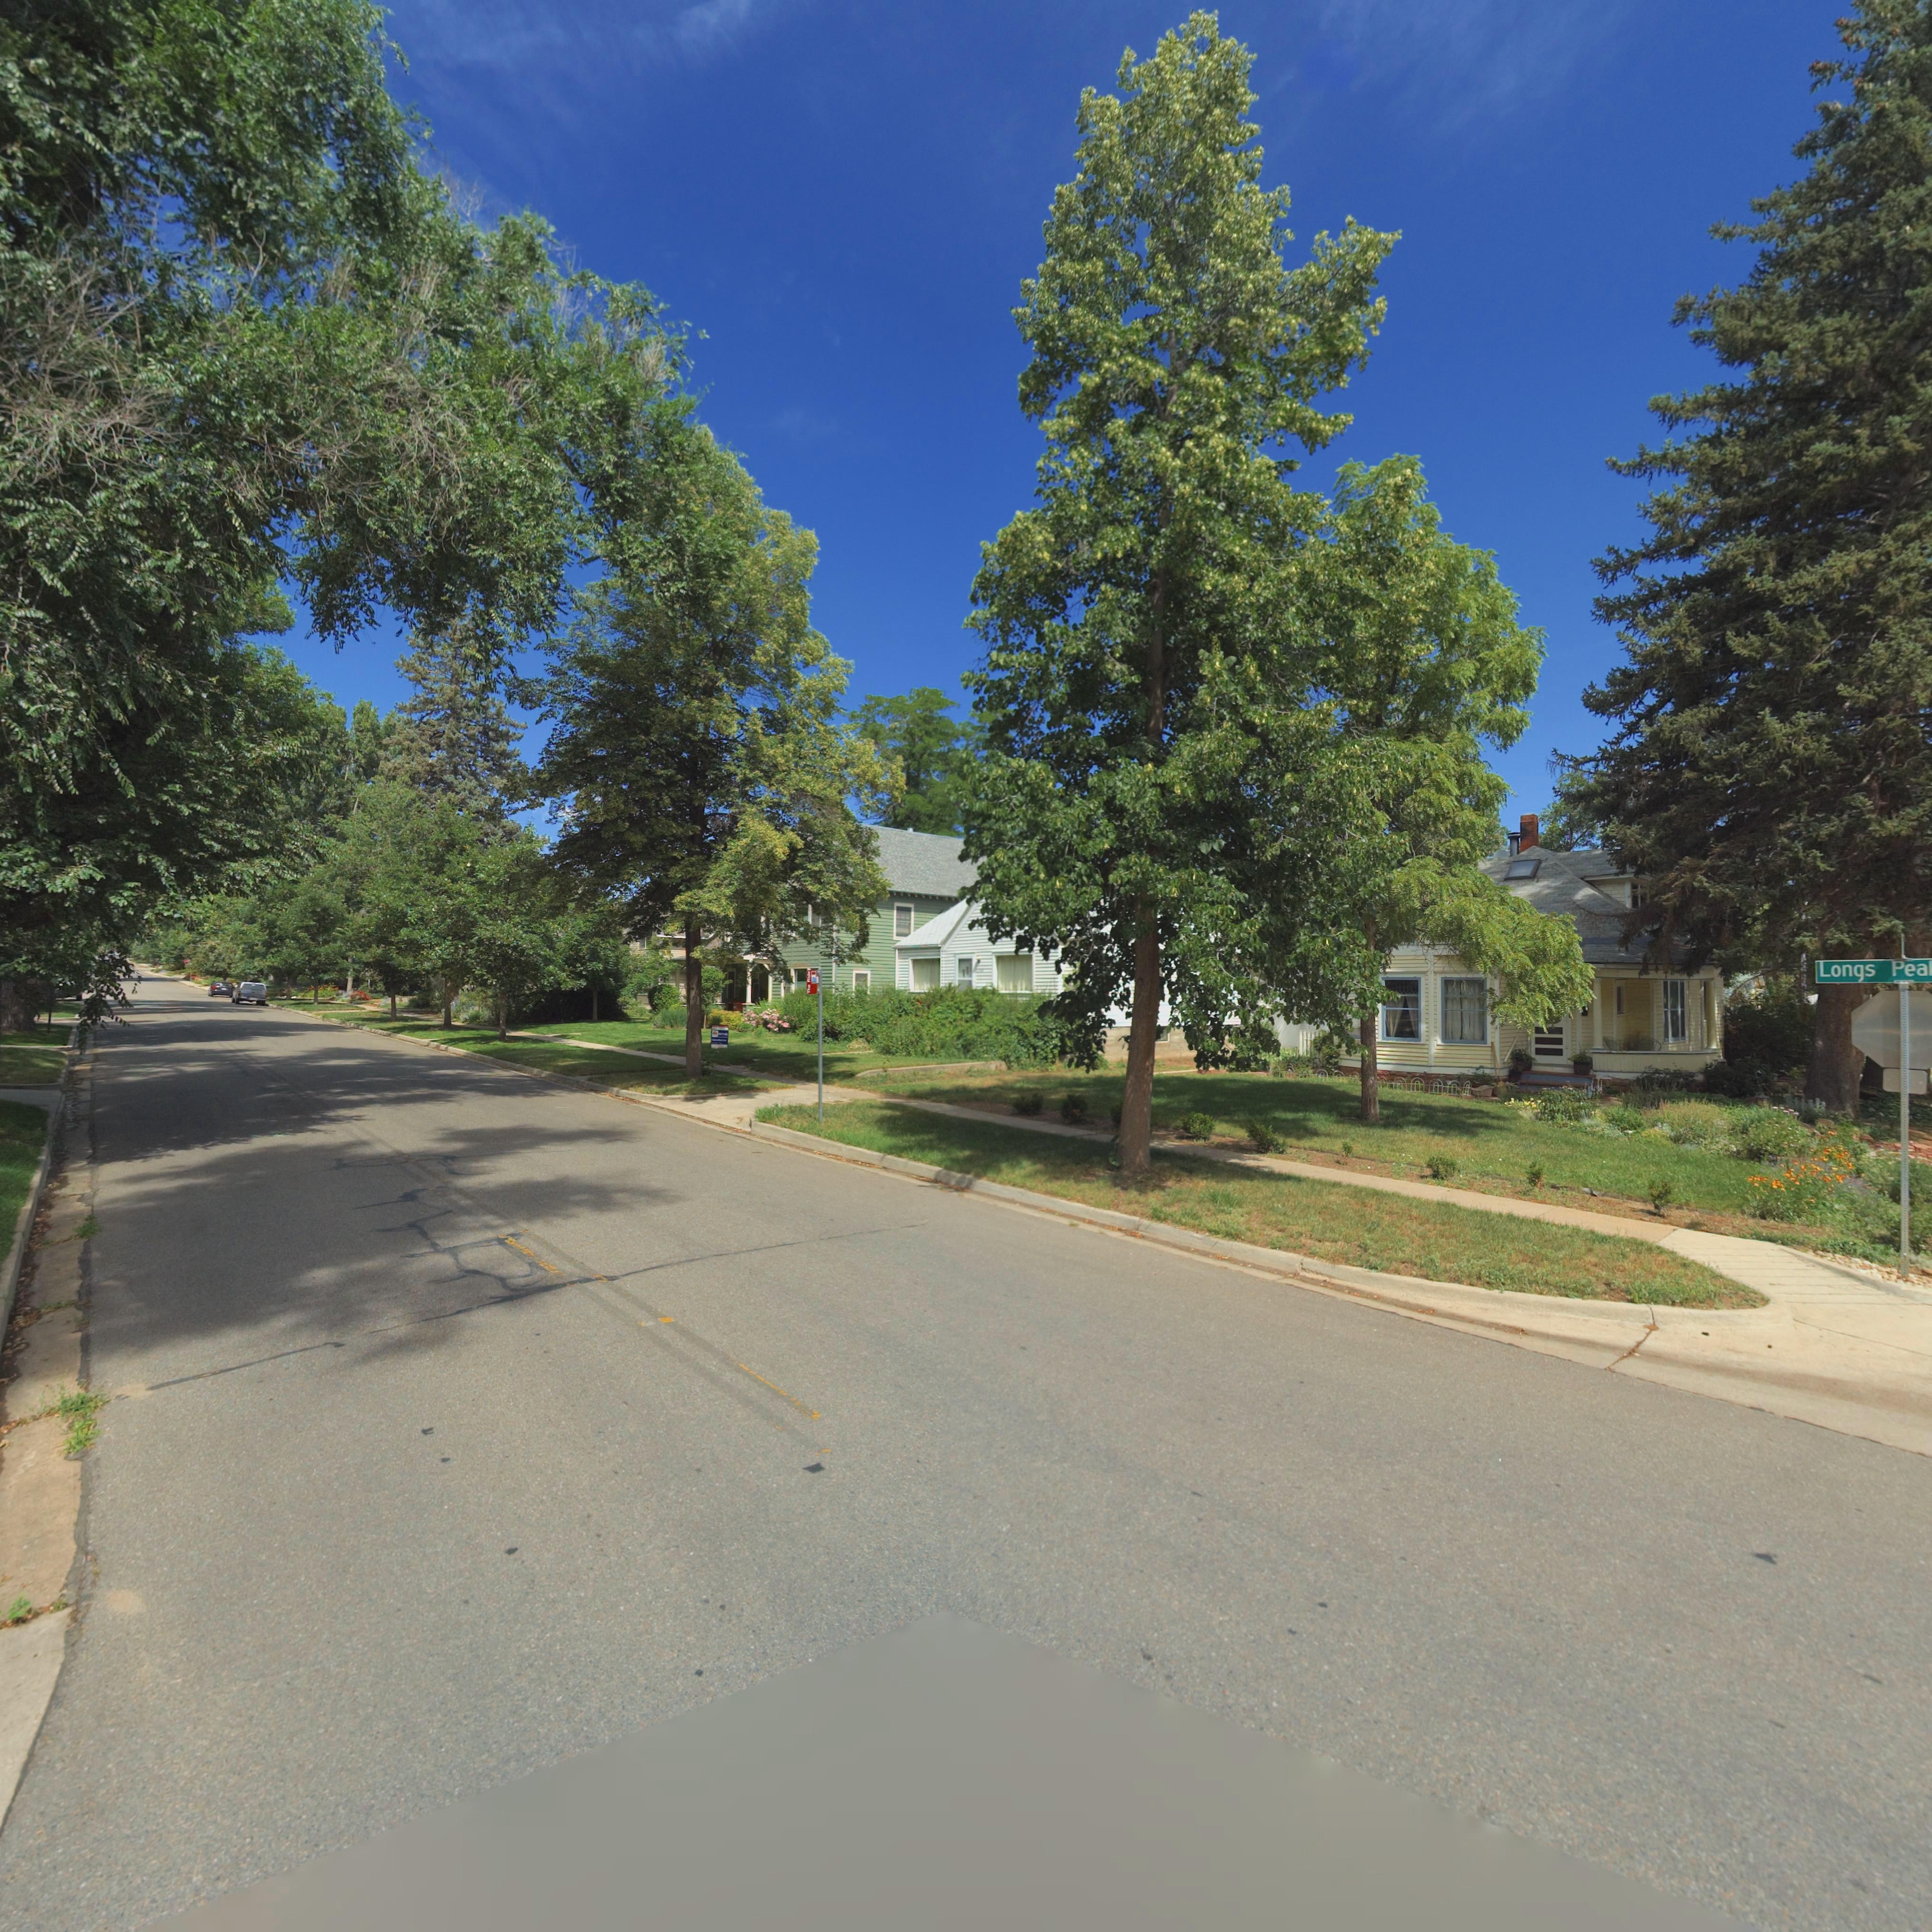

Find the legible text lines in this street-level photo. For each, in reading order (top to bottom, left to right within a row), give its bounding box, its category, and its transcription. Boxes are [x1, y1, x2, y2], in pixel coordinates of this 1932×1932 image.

[1819, 959, 1929, 983] StreetName: Longs Pea